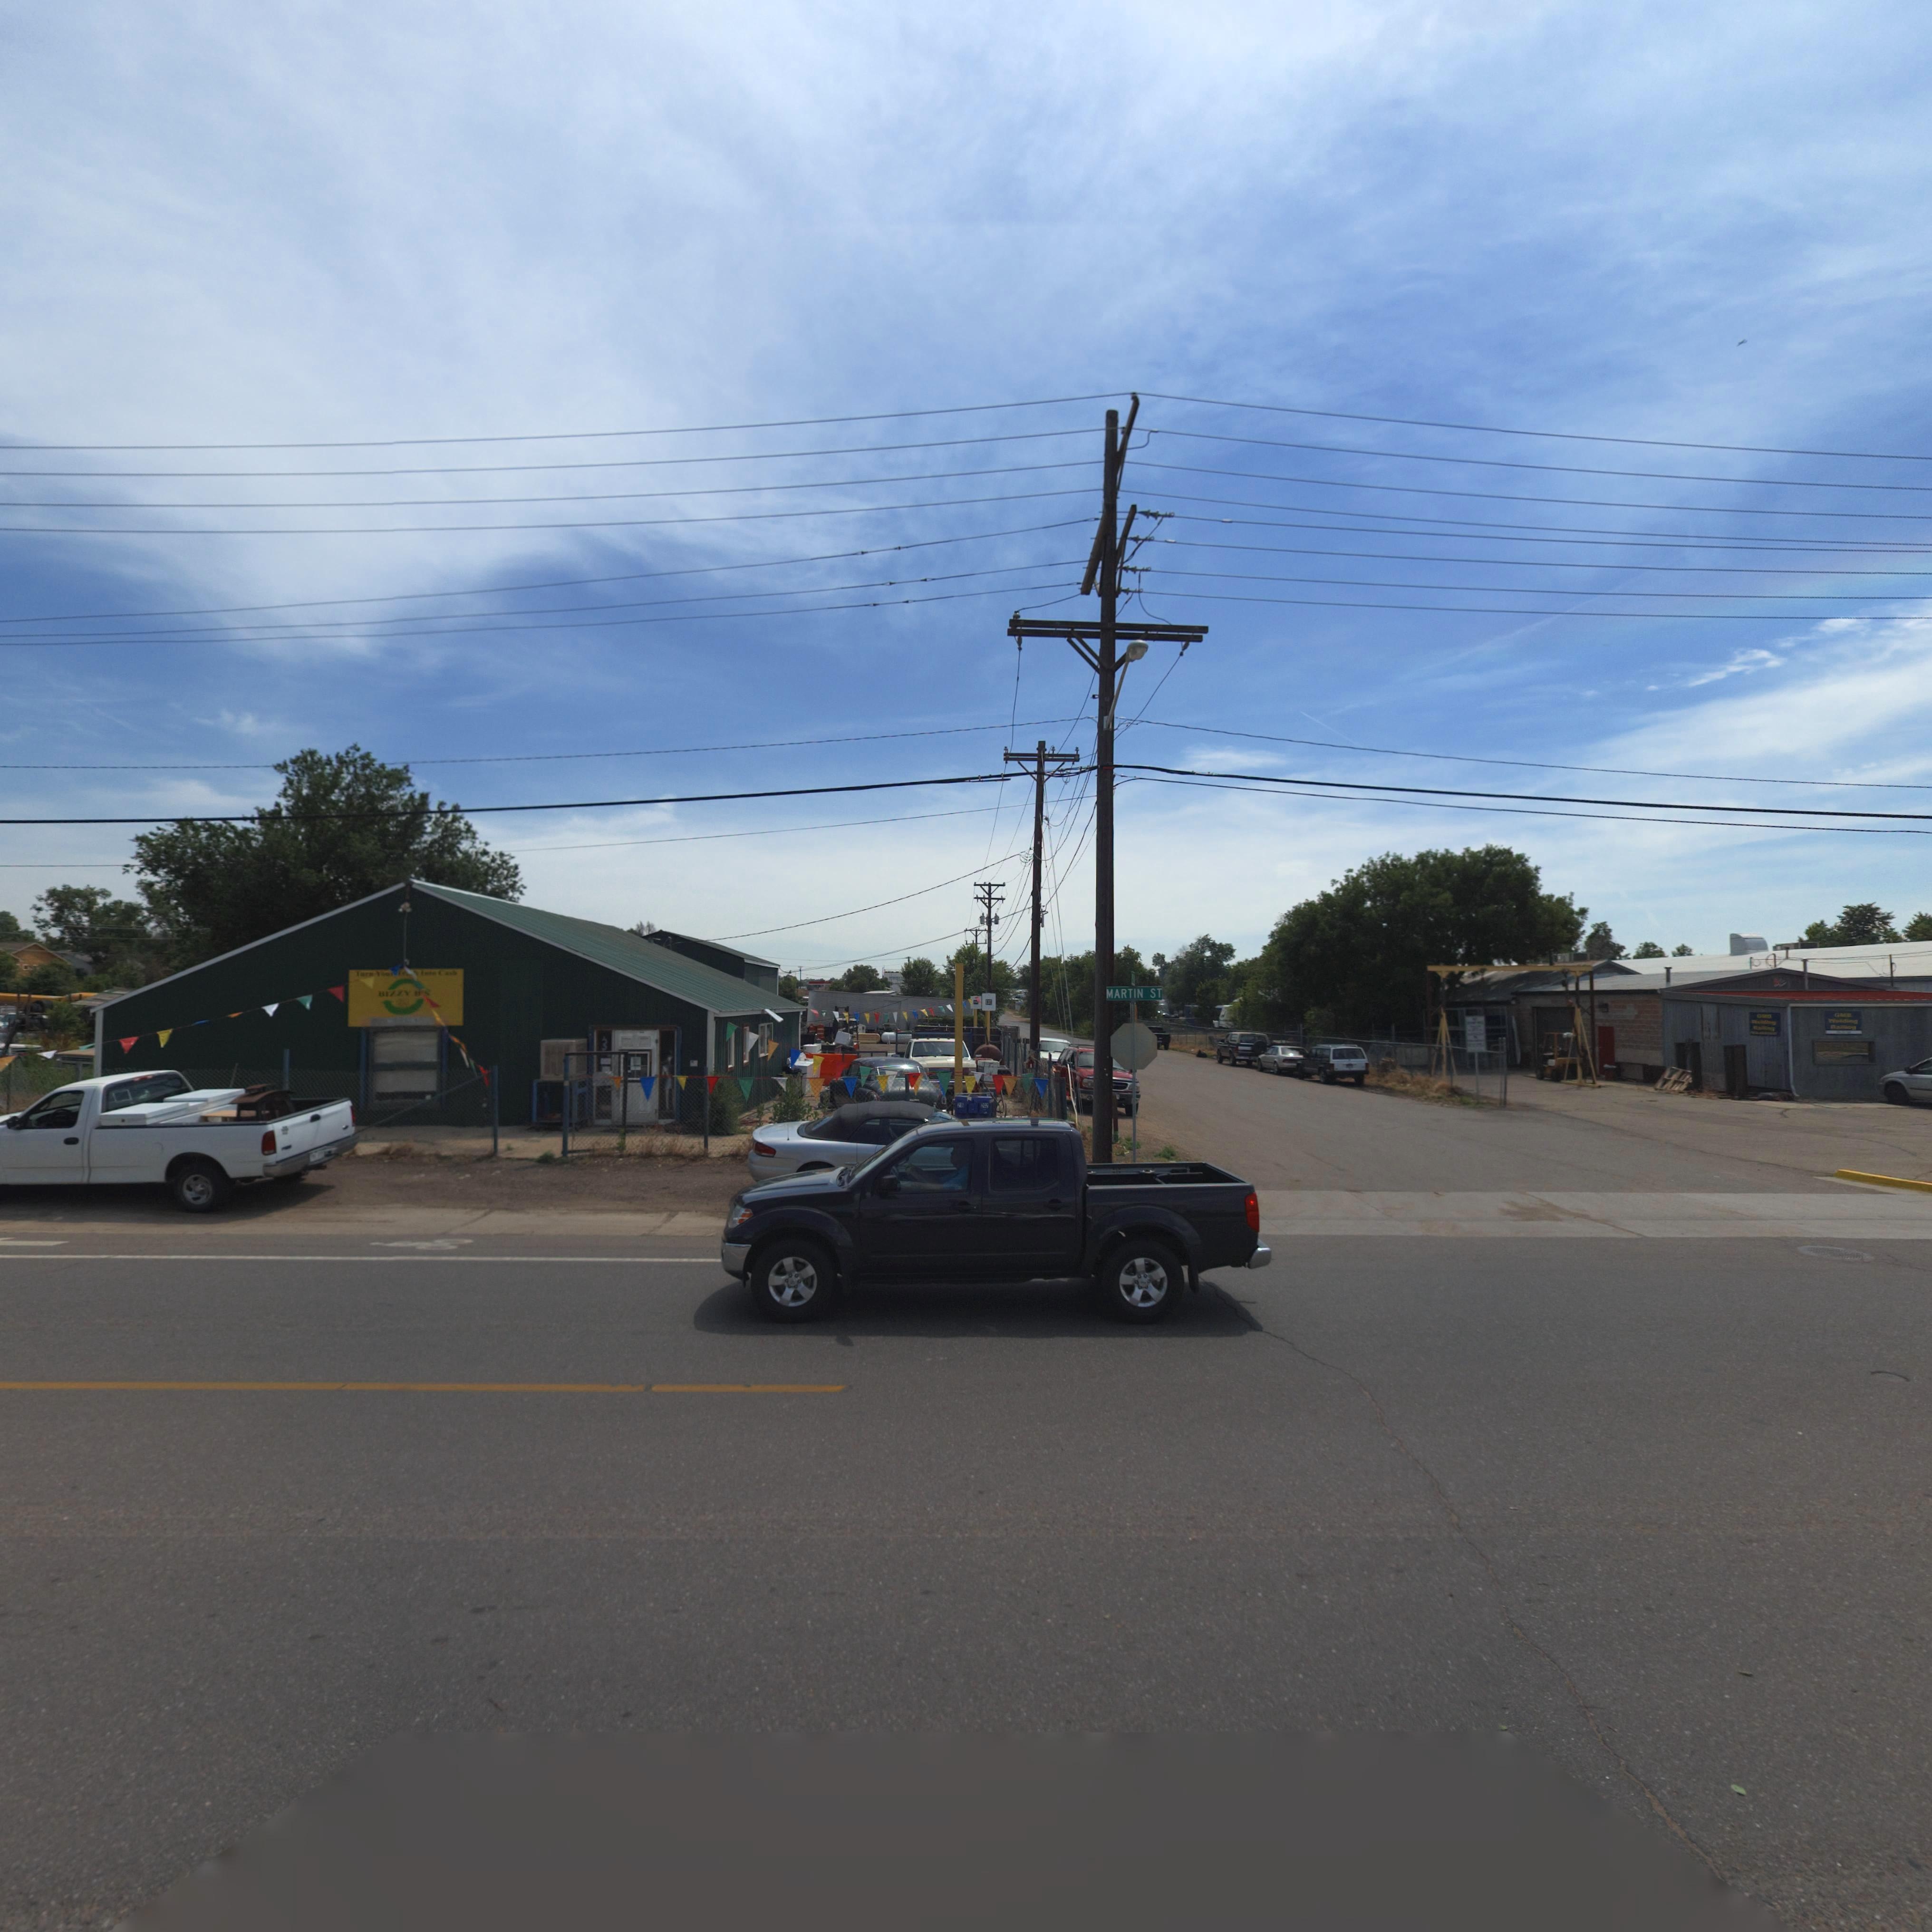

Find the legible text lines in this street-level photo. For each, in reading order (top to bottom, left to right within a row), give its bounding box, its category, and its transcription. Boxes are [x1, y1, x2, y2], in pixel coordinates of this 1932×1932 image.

[376, 989, 431, 998] StreetName: BIZZY B'S
[1104, 986, 1163, 1000] StreetName: MARTIN ST